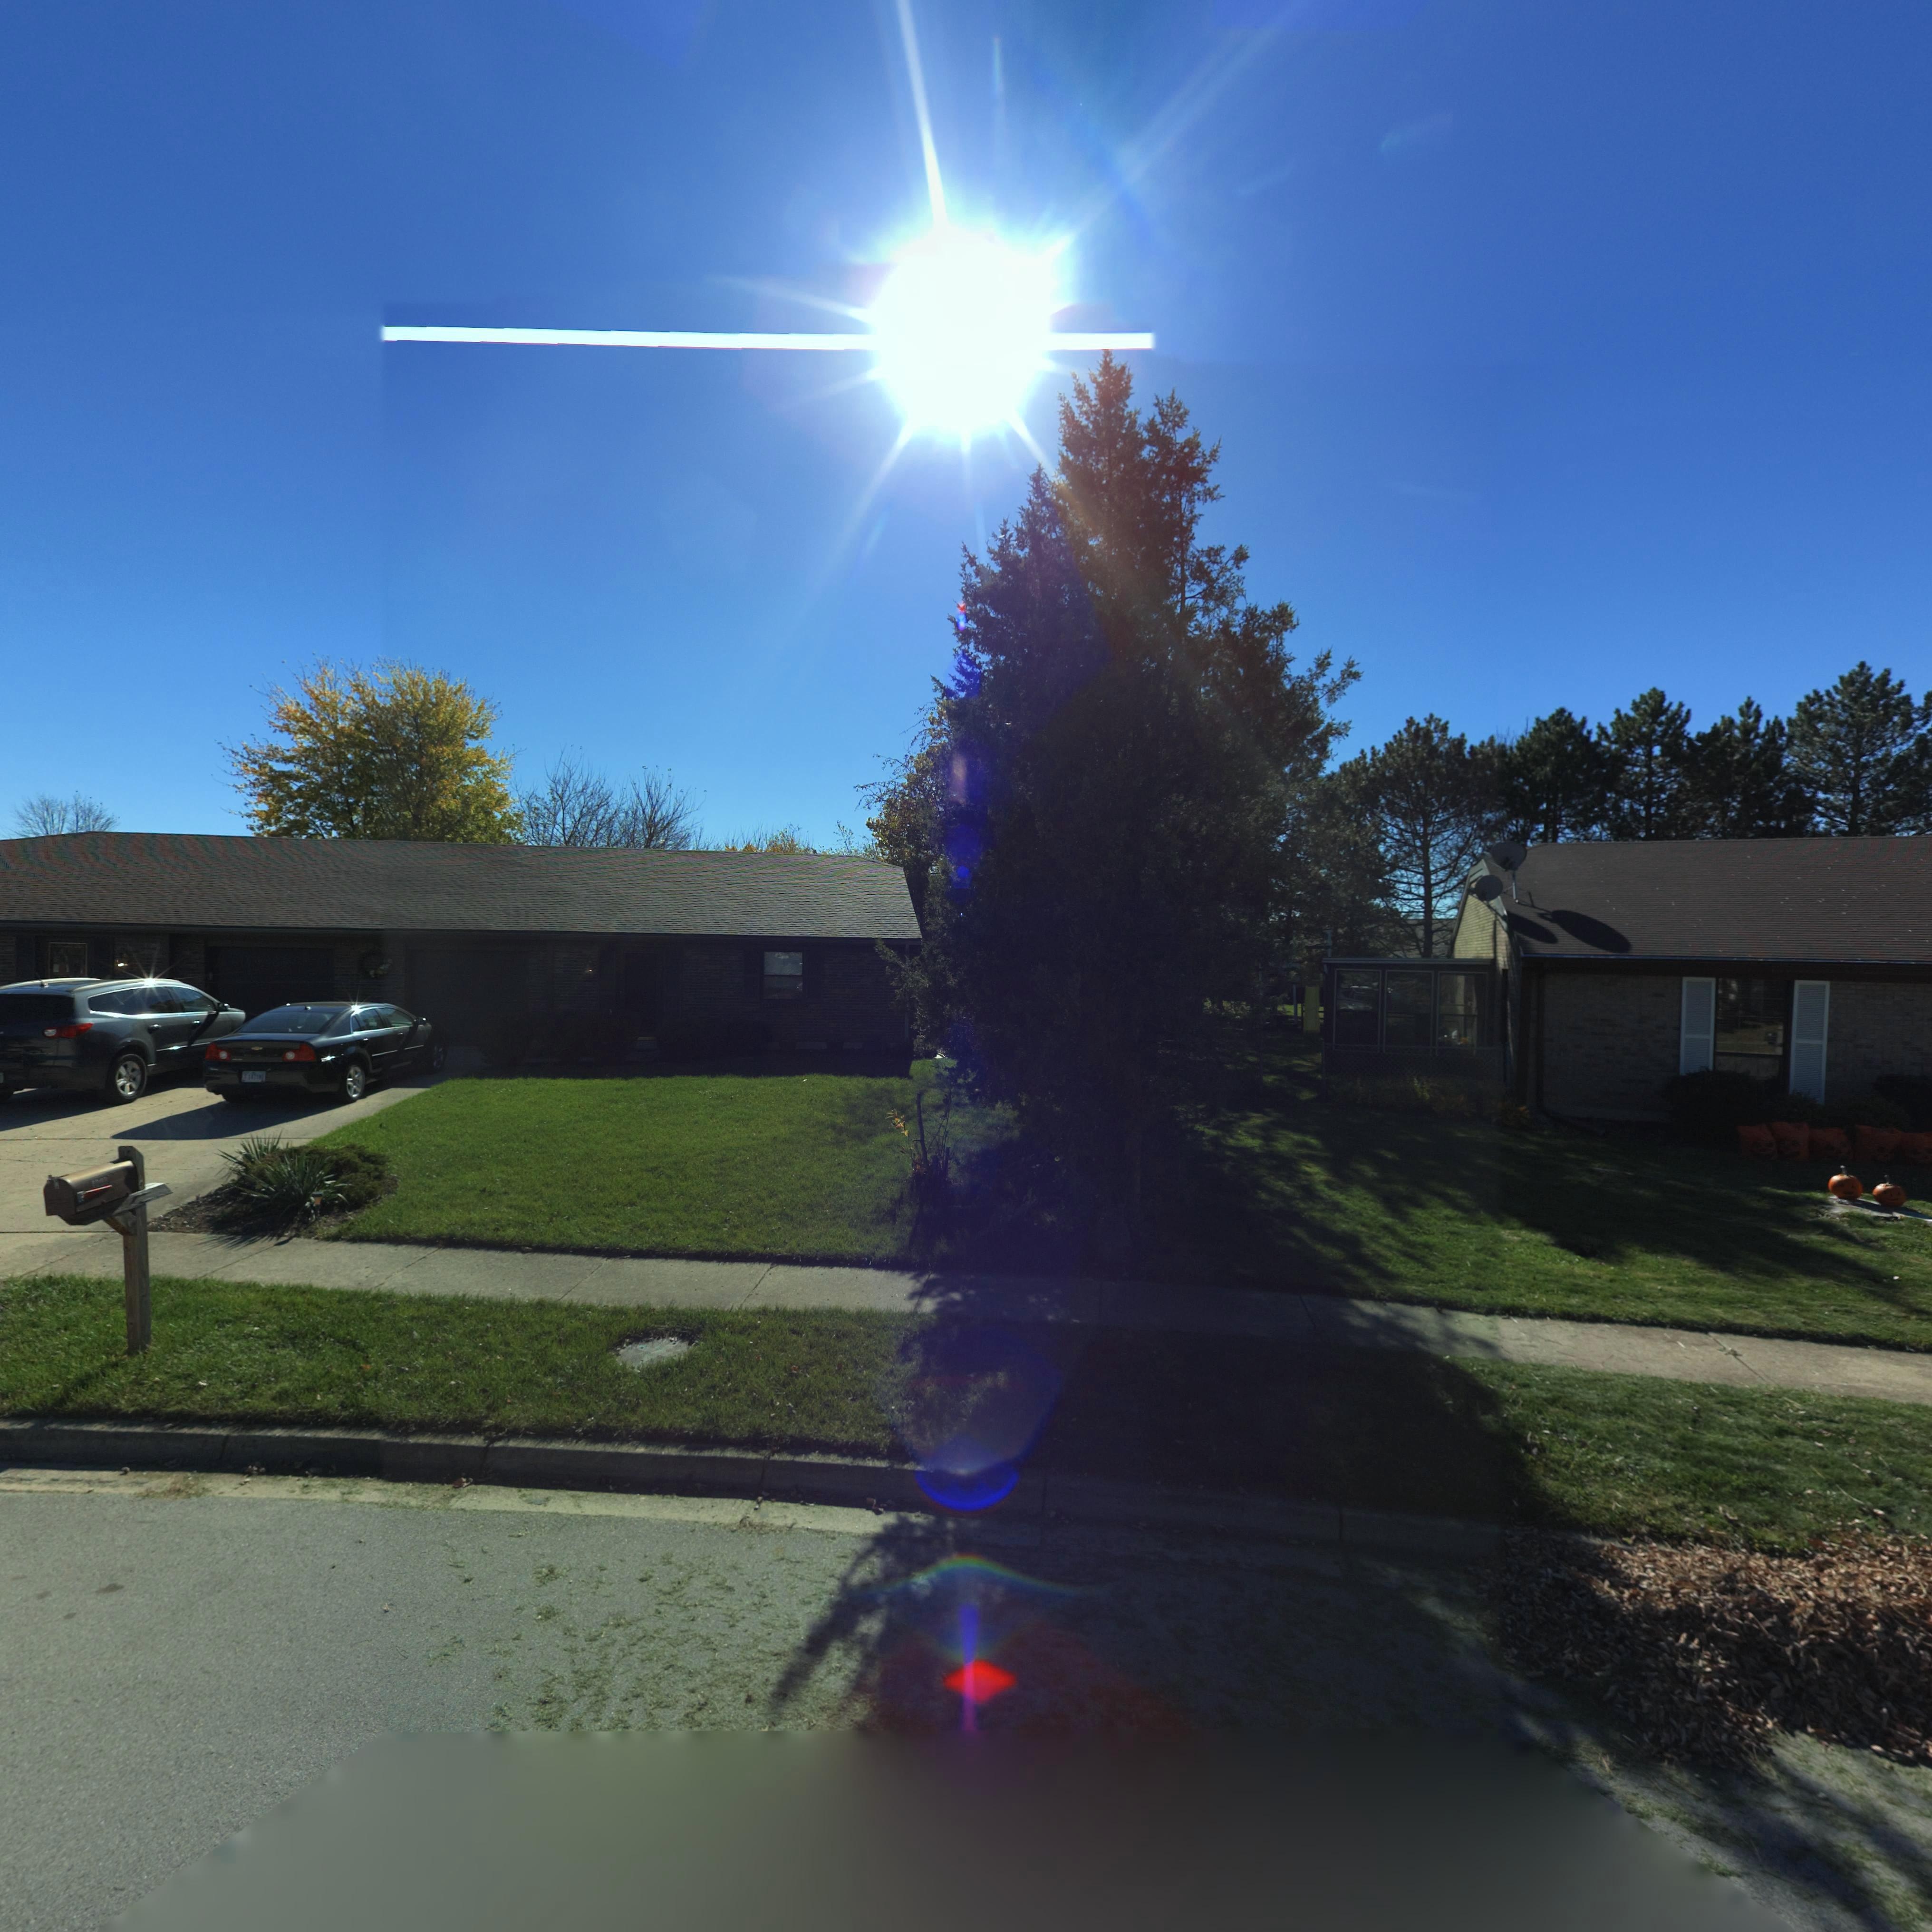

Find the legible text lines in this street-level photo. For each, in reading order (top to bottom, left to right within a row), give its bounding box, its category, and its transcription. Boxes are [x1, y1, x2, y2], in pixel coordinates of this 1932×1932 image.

[90, 1175, 110, 1189] StreetNumber: 40*8